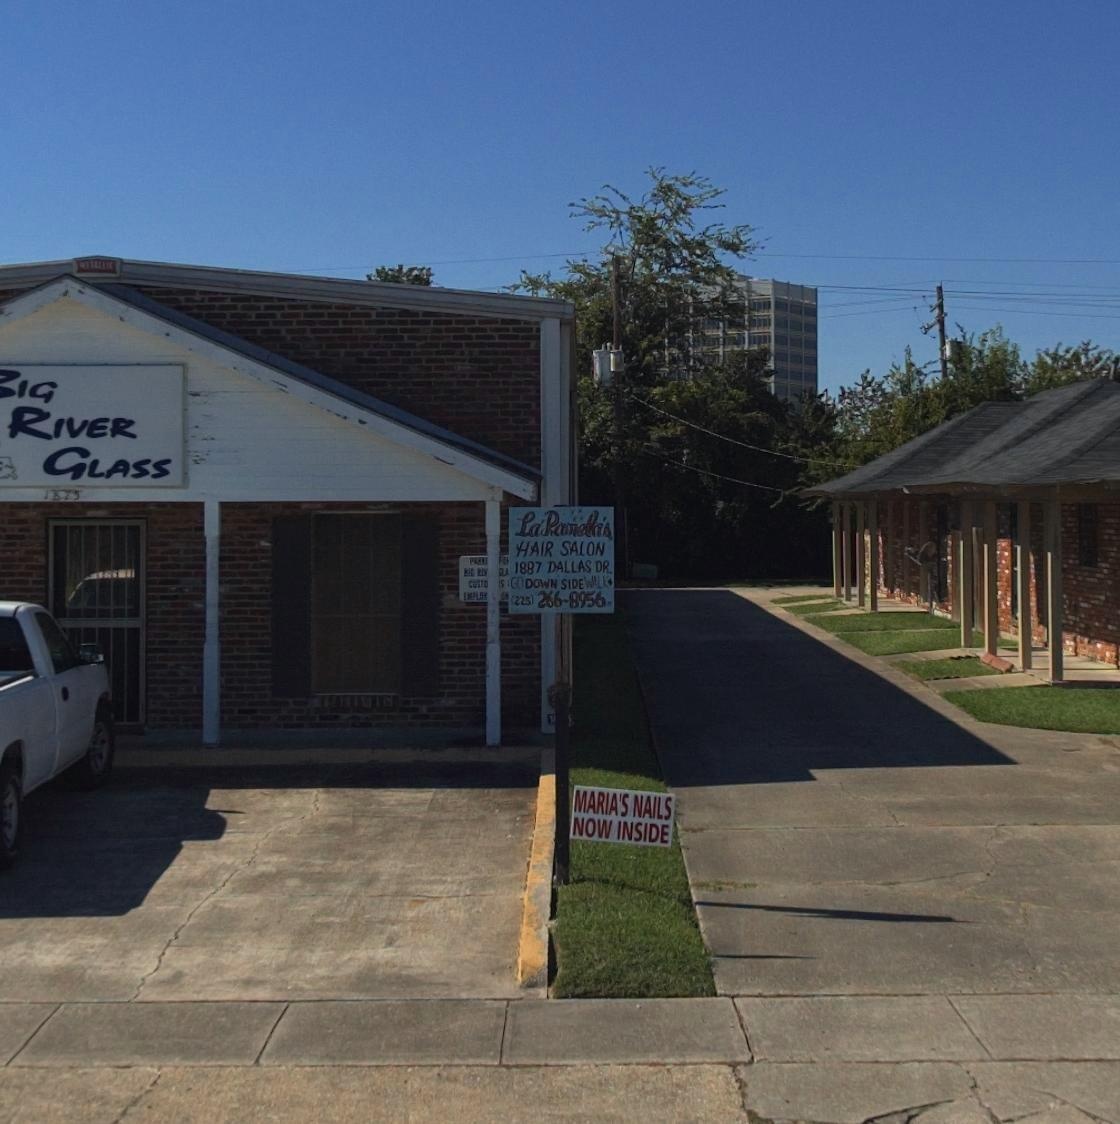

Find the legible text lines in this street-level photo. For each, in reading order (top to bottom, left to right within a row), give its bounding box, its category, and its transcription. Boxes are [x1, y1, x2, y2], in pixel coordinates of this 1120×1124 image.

[13, 376, 61, 407] BusinessName: IG
[4, 401, 141, 444] BusinessName: RIVER
[38, 443, 177, 484] BusinessName: GLASS
[40, 485, 86, 504] StreetNumber: 1875
[512, 507, 613, 539] BusinessName: La Pamela's
[512, 538, 608, 559] BusinessName: HAIR SALON
[513, 558, 545, 577] StreetNumber: 1887
[509, 575, 612, 591] None: GO DOWN SIDE WALK
[545, 558, 614, 576] StreetName: DALLAS DR.
[512, 589, 609, 611] None: 225)266-8956
[571, 786, 675, 823] BusinessName: MARIA'S NAILS
[569, 813, 673, 847] None: NOW INSIDE